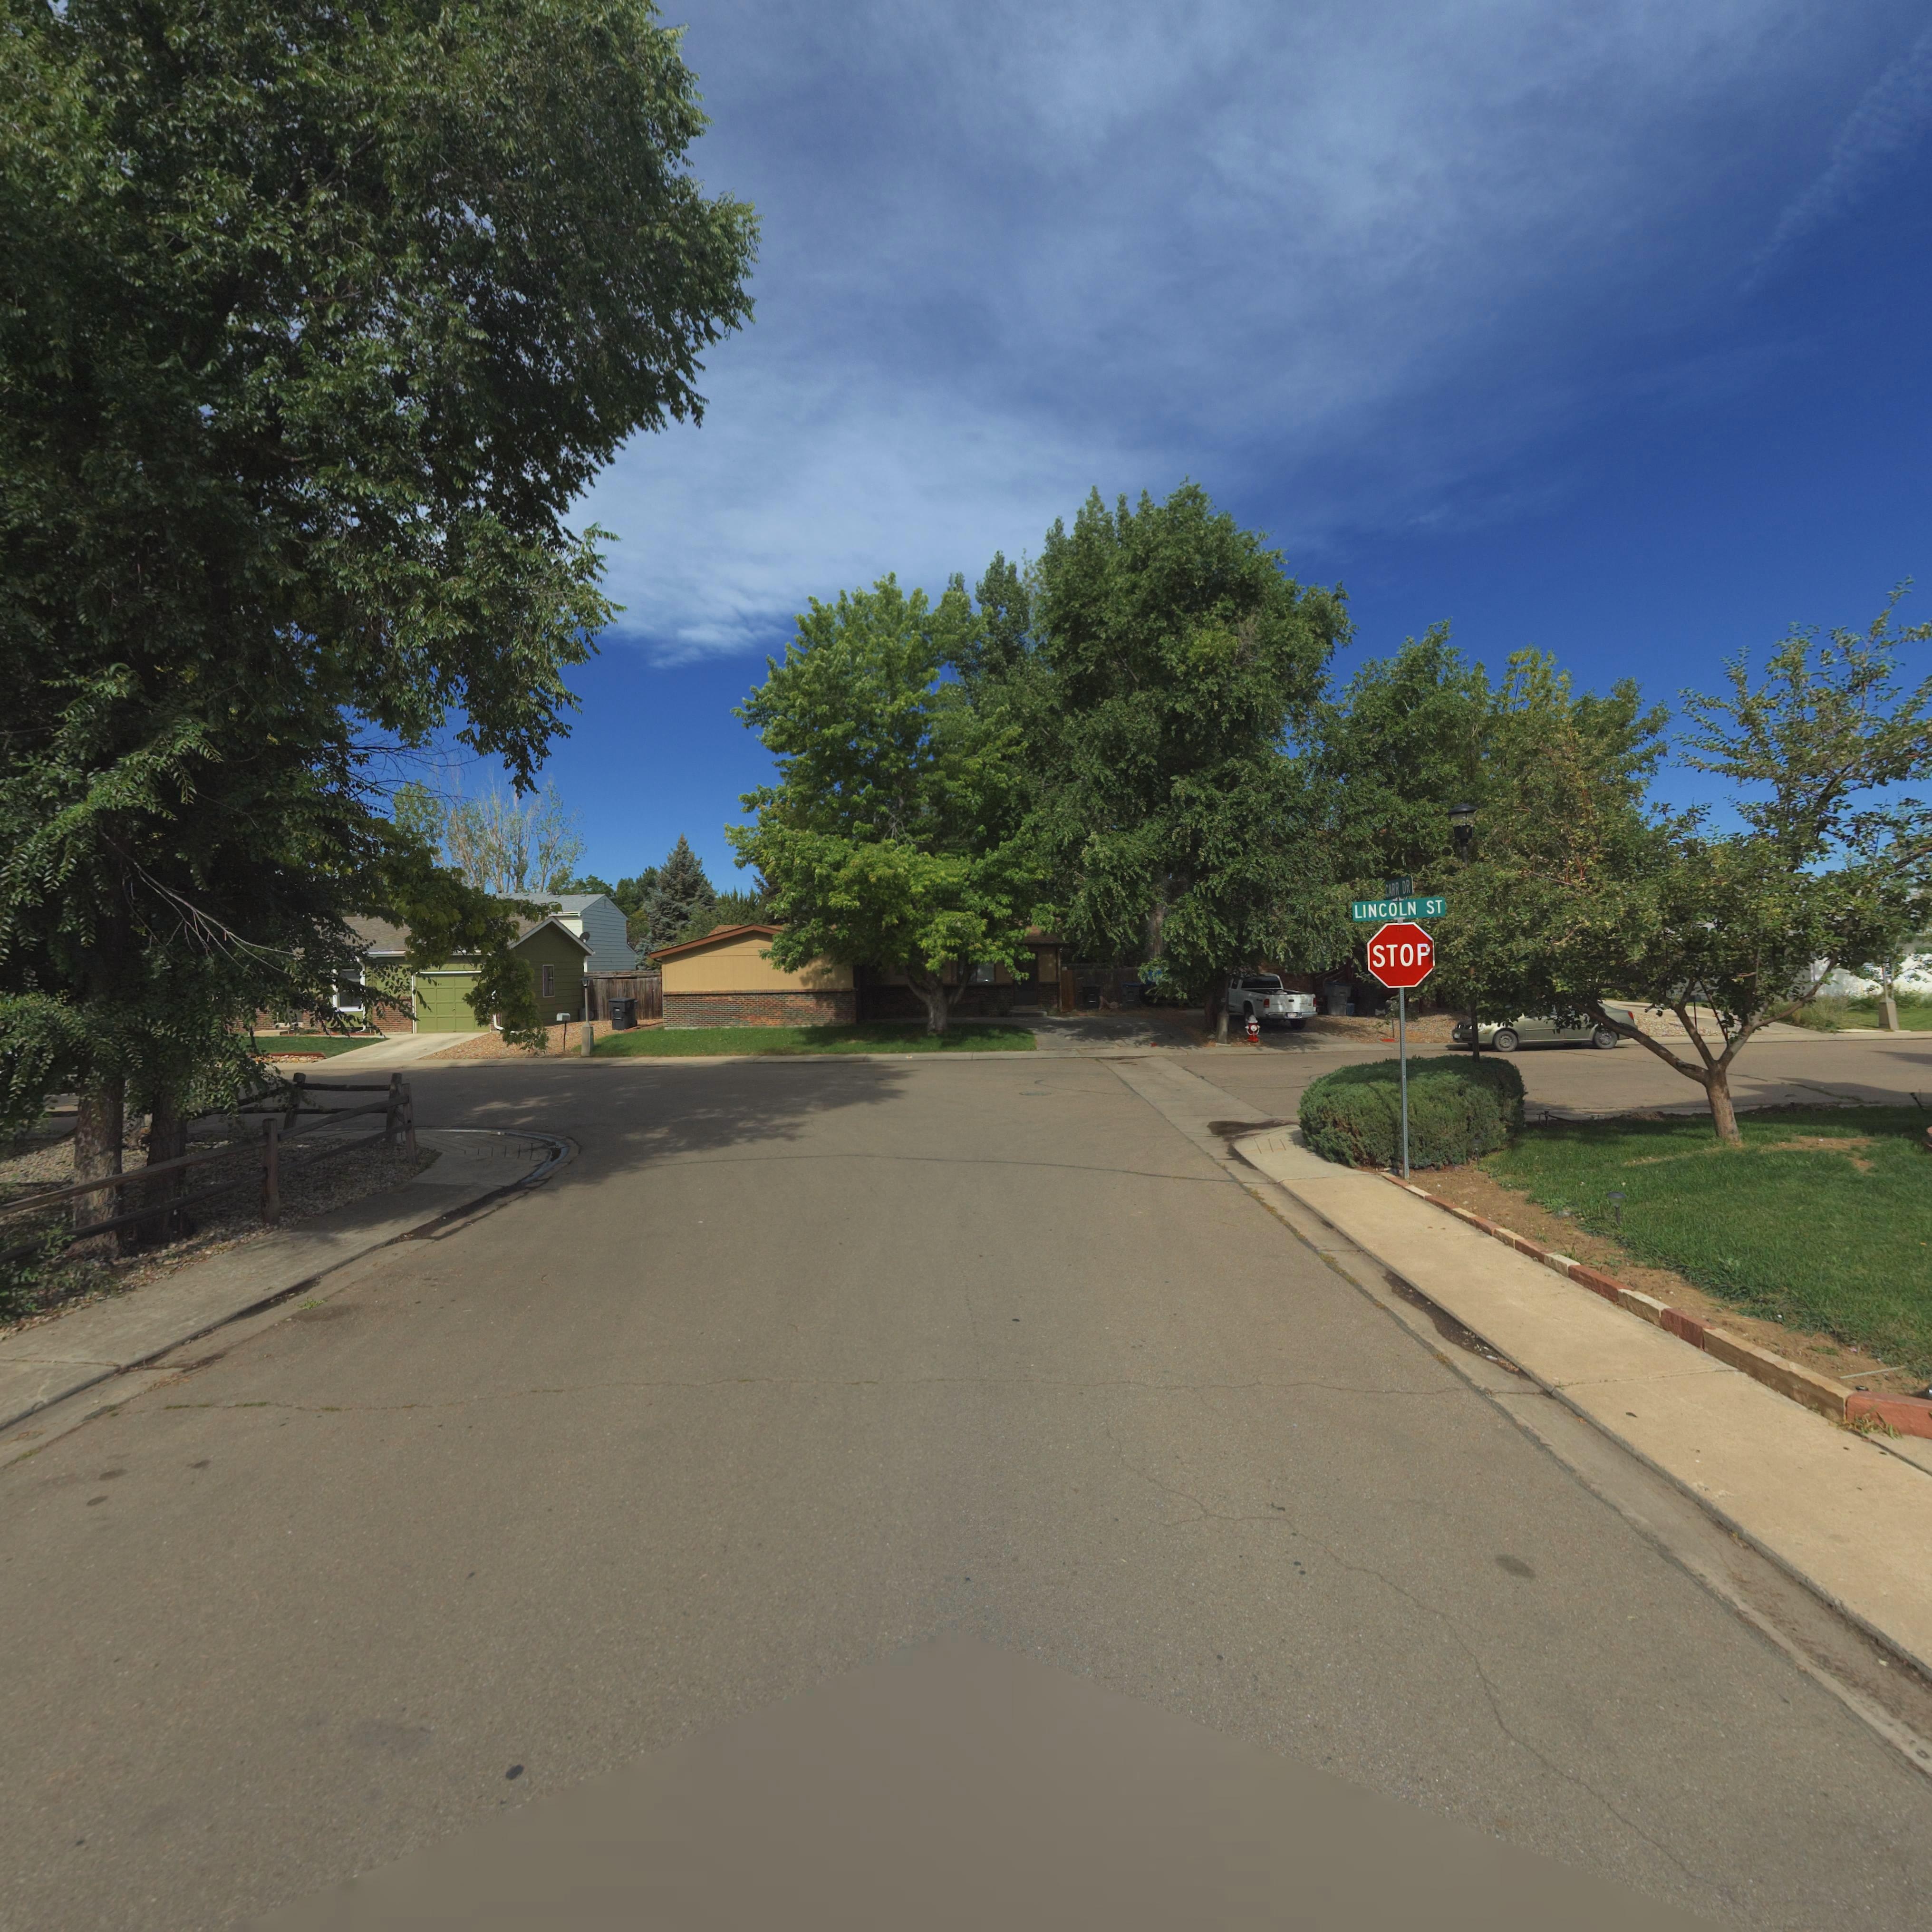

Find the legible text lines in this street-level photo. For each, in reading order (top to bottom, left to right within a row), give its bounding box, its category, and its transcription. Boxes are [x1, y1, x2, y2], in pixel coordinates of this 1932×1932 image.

[1383, 878, 1411, 898] StreetName: CARR DR
[1354, 899, 1443, 918] StreetName: LINCOLN ST